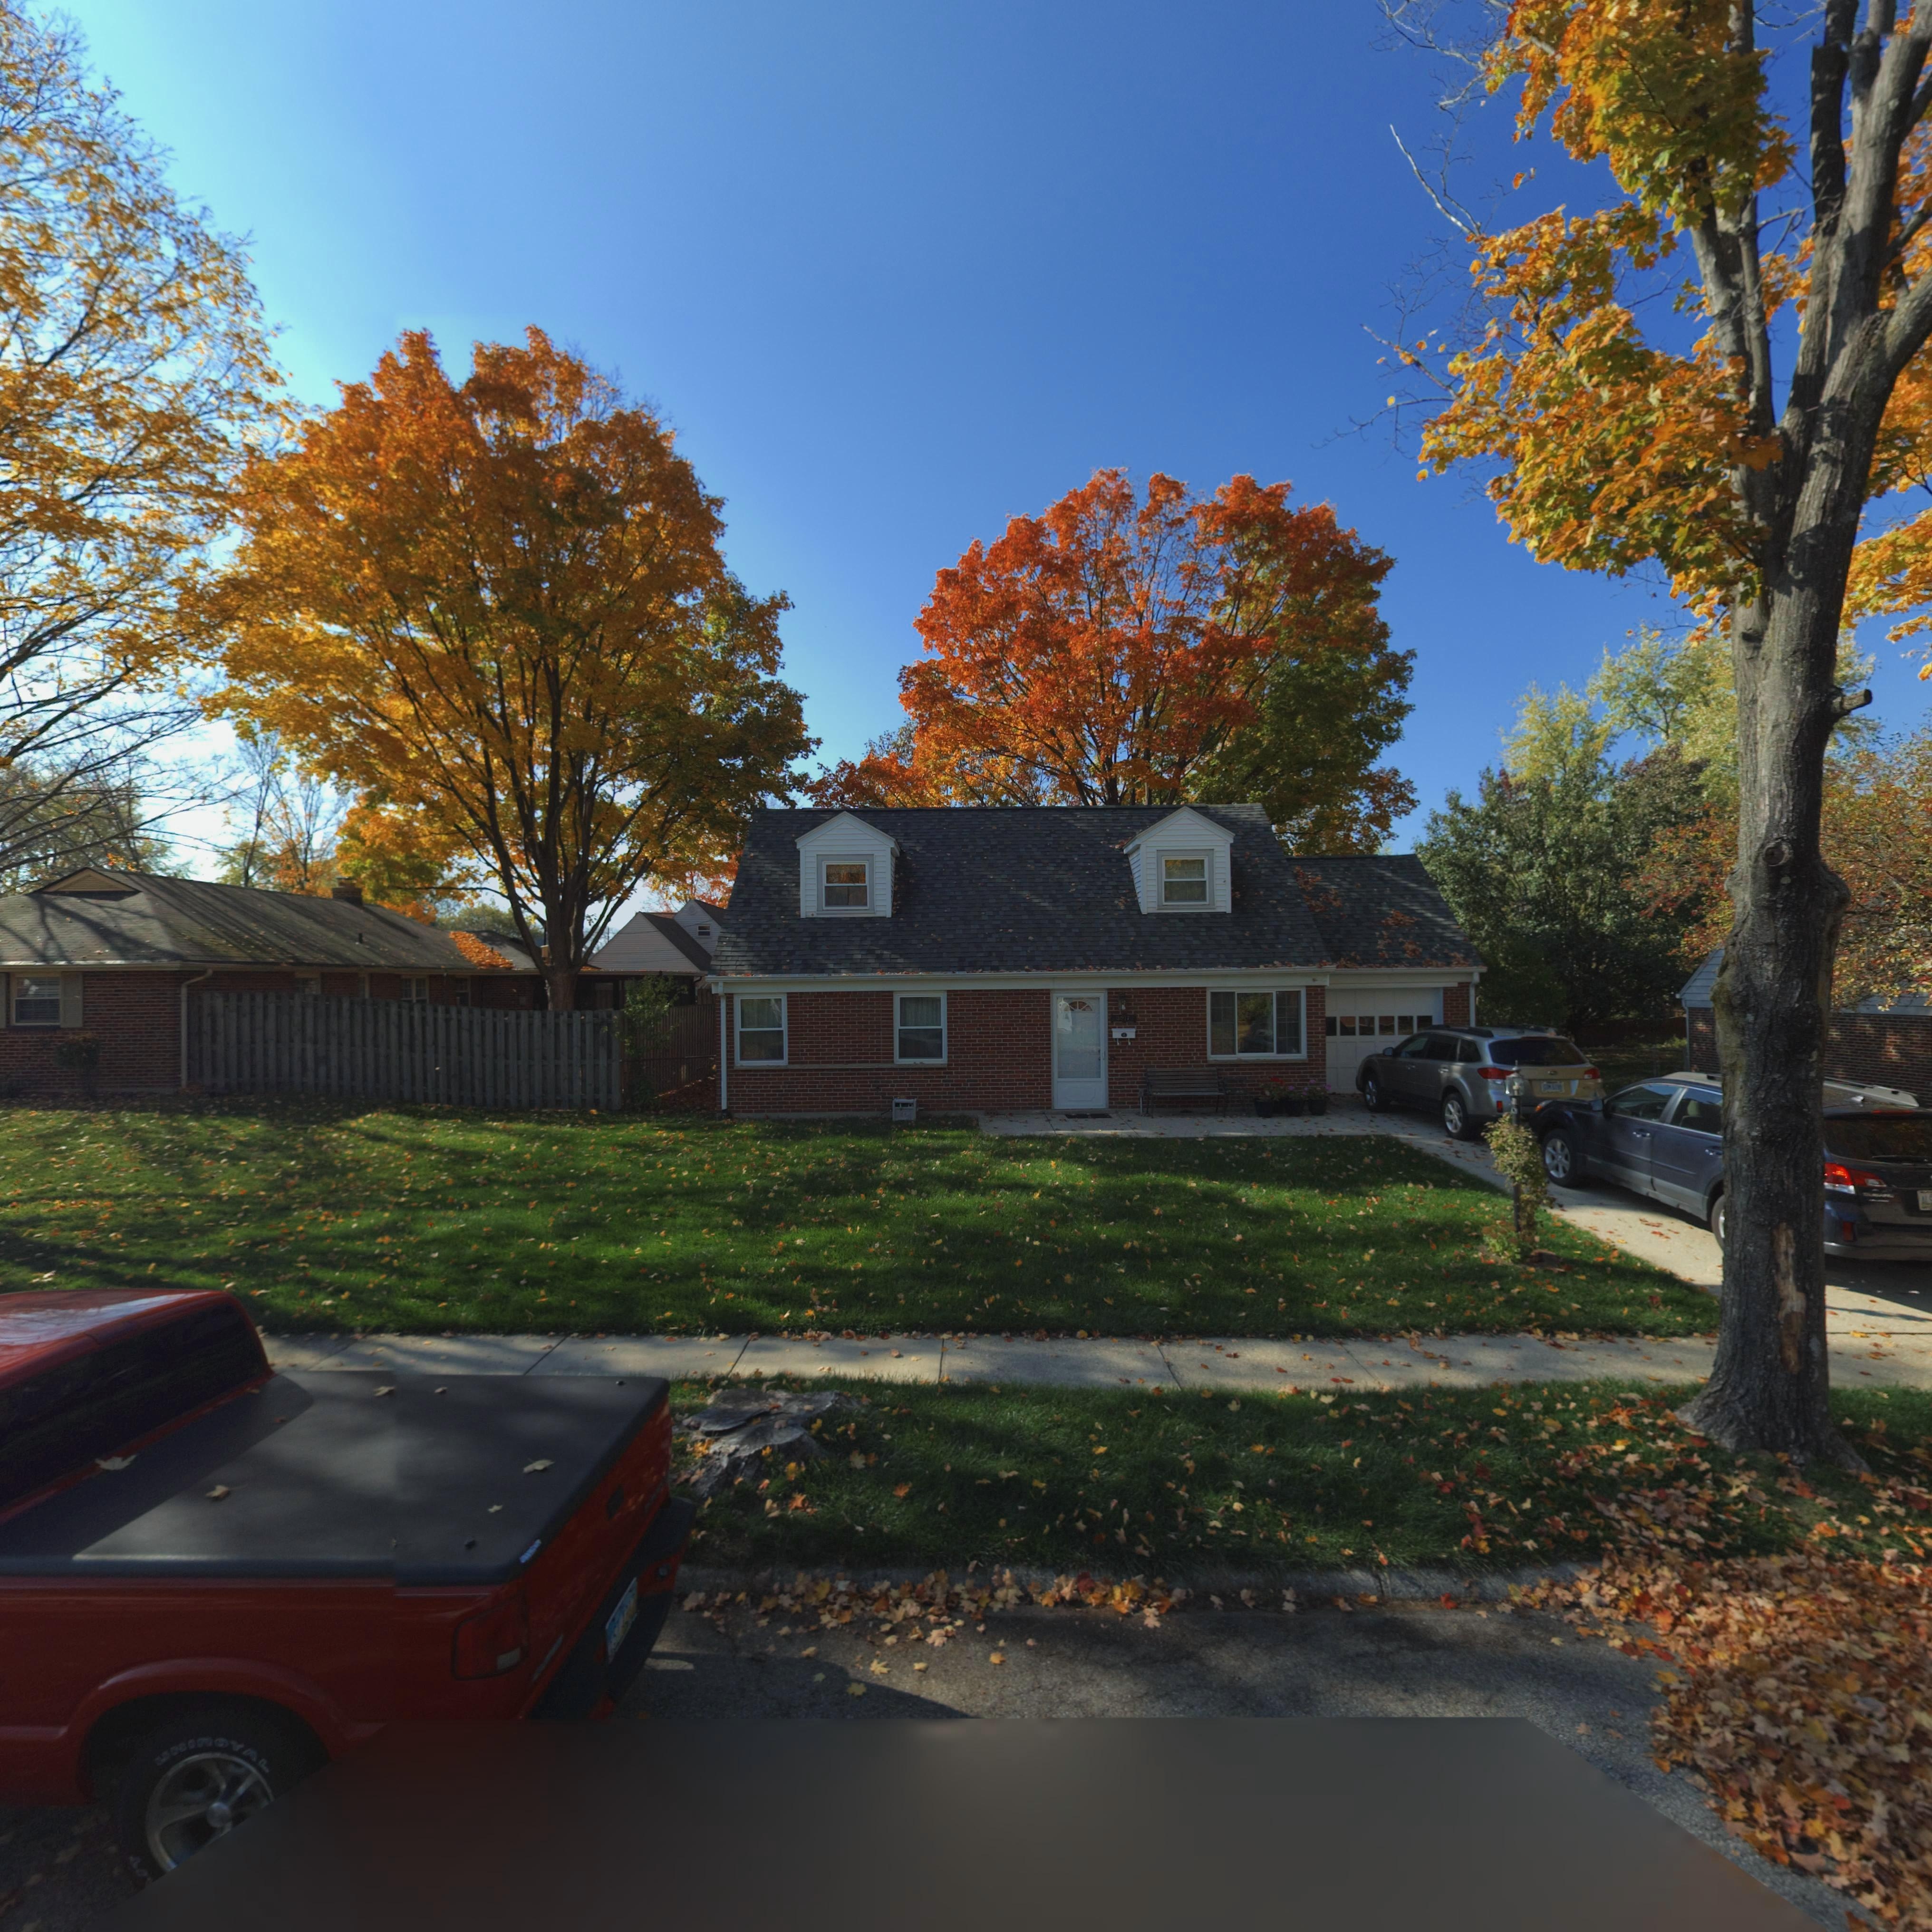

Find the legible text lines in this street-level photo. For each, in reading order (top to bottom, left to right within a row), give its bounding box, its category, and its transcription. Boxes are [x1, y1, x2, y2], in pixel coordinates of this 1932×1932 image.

[1115, 1015, 1130, 1021] StreetNumber: *917
[1921, 1195, 1932, 1206] None: AL